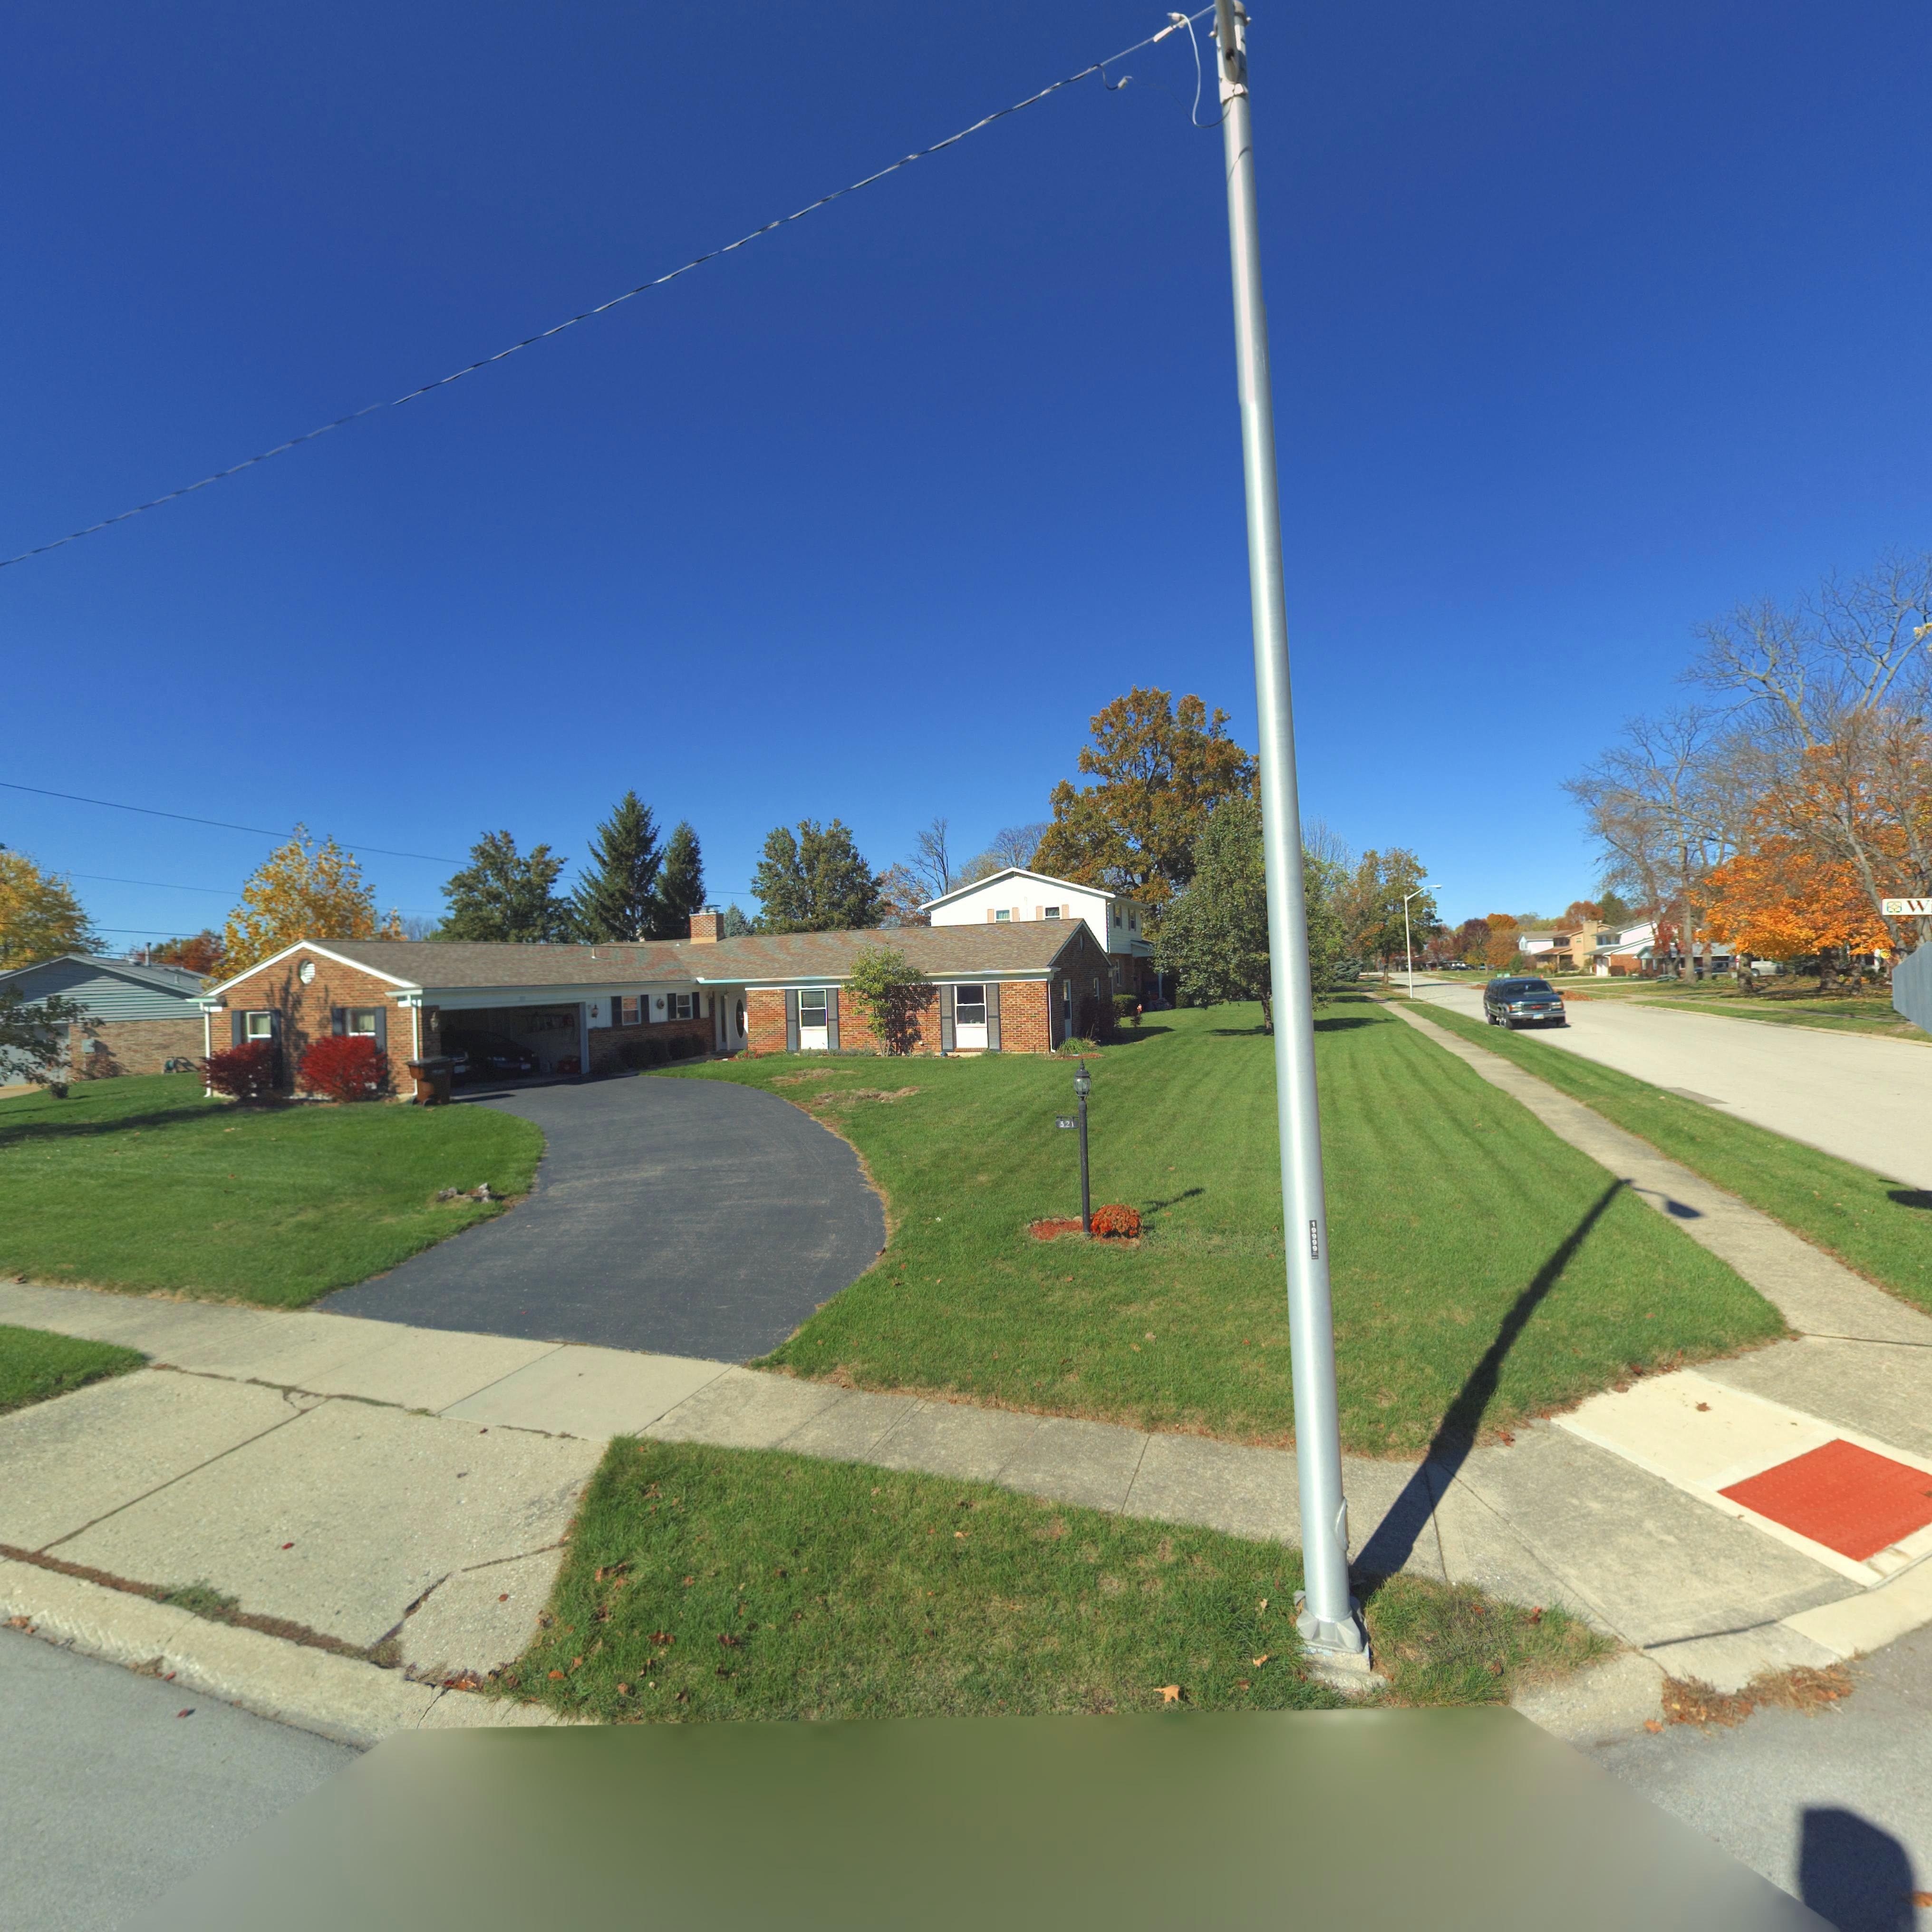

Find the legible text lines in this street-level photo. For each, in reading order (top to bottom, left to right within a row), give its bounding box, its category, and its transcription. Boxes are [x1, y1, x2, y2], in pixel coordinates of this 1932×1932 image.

[1059, 1120, 1075, 1128] StreetNumber: 321